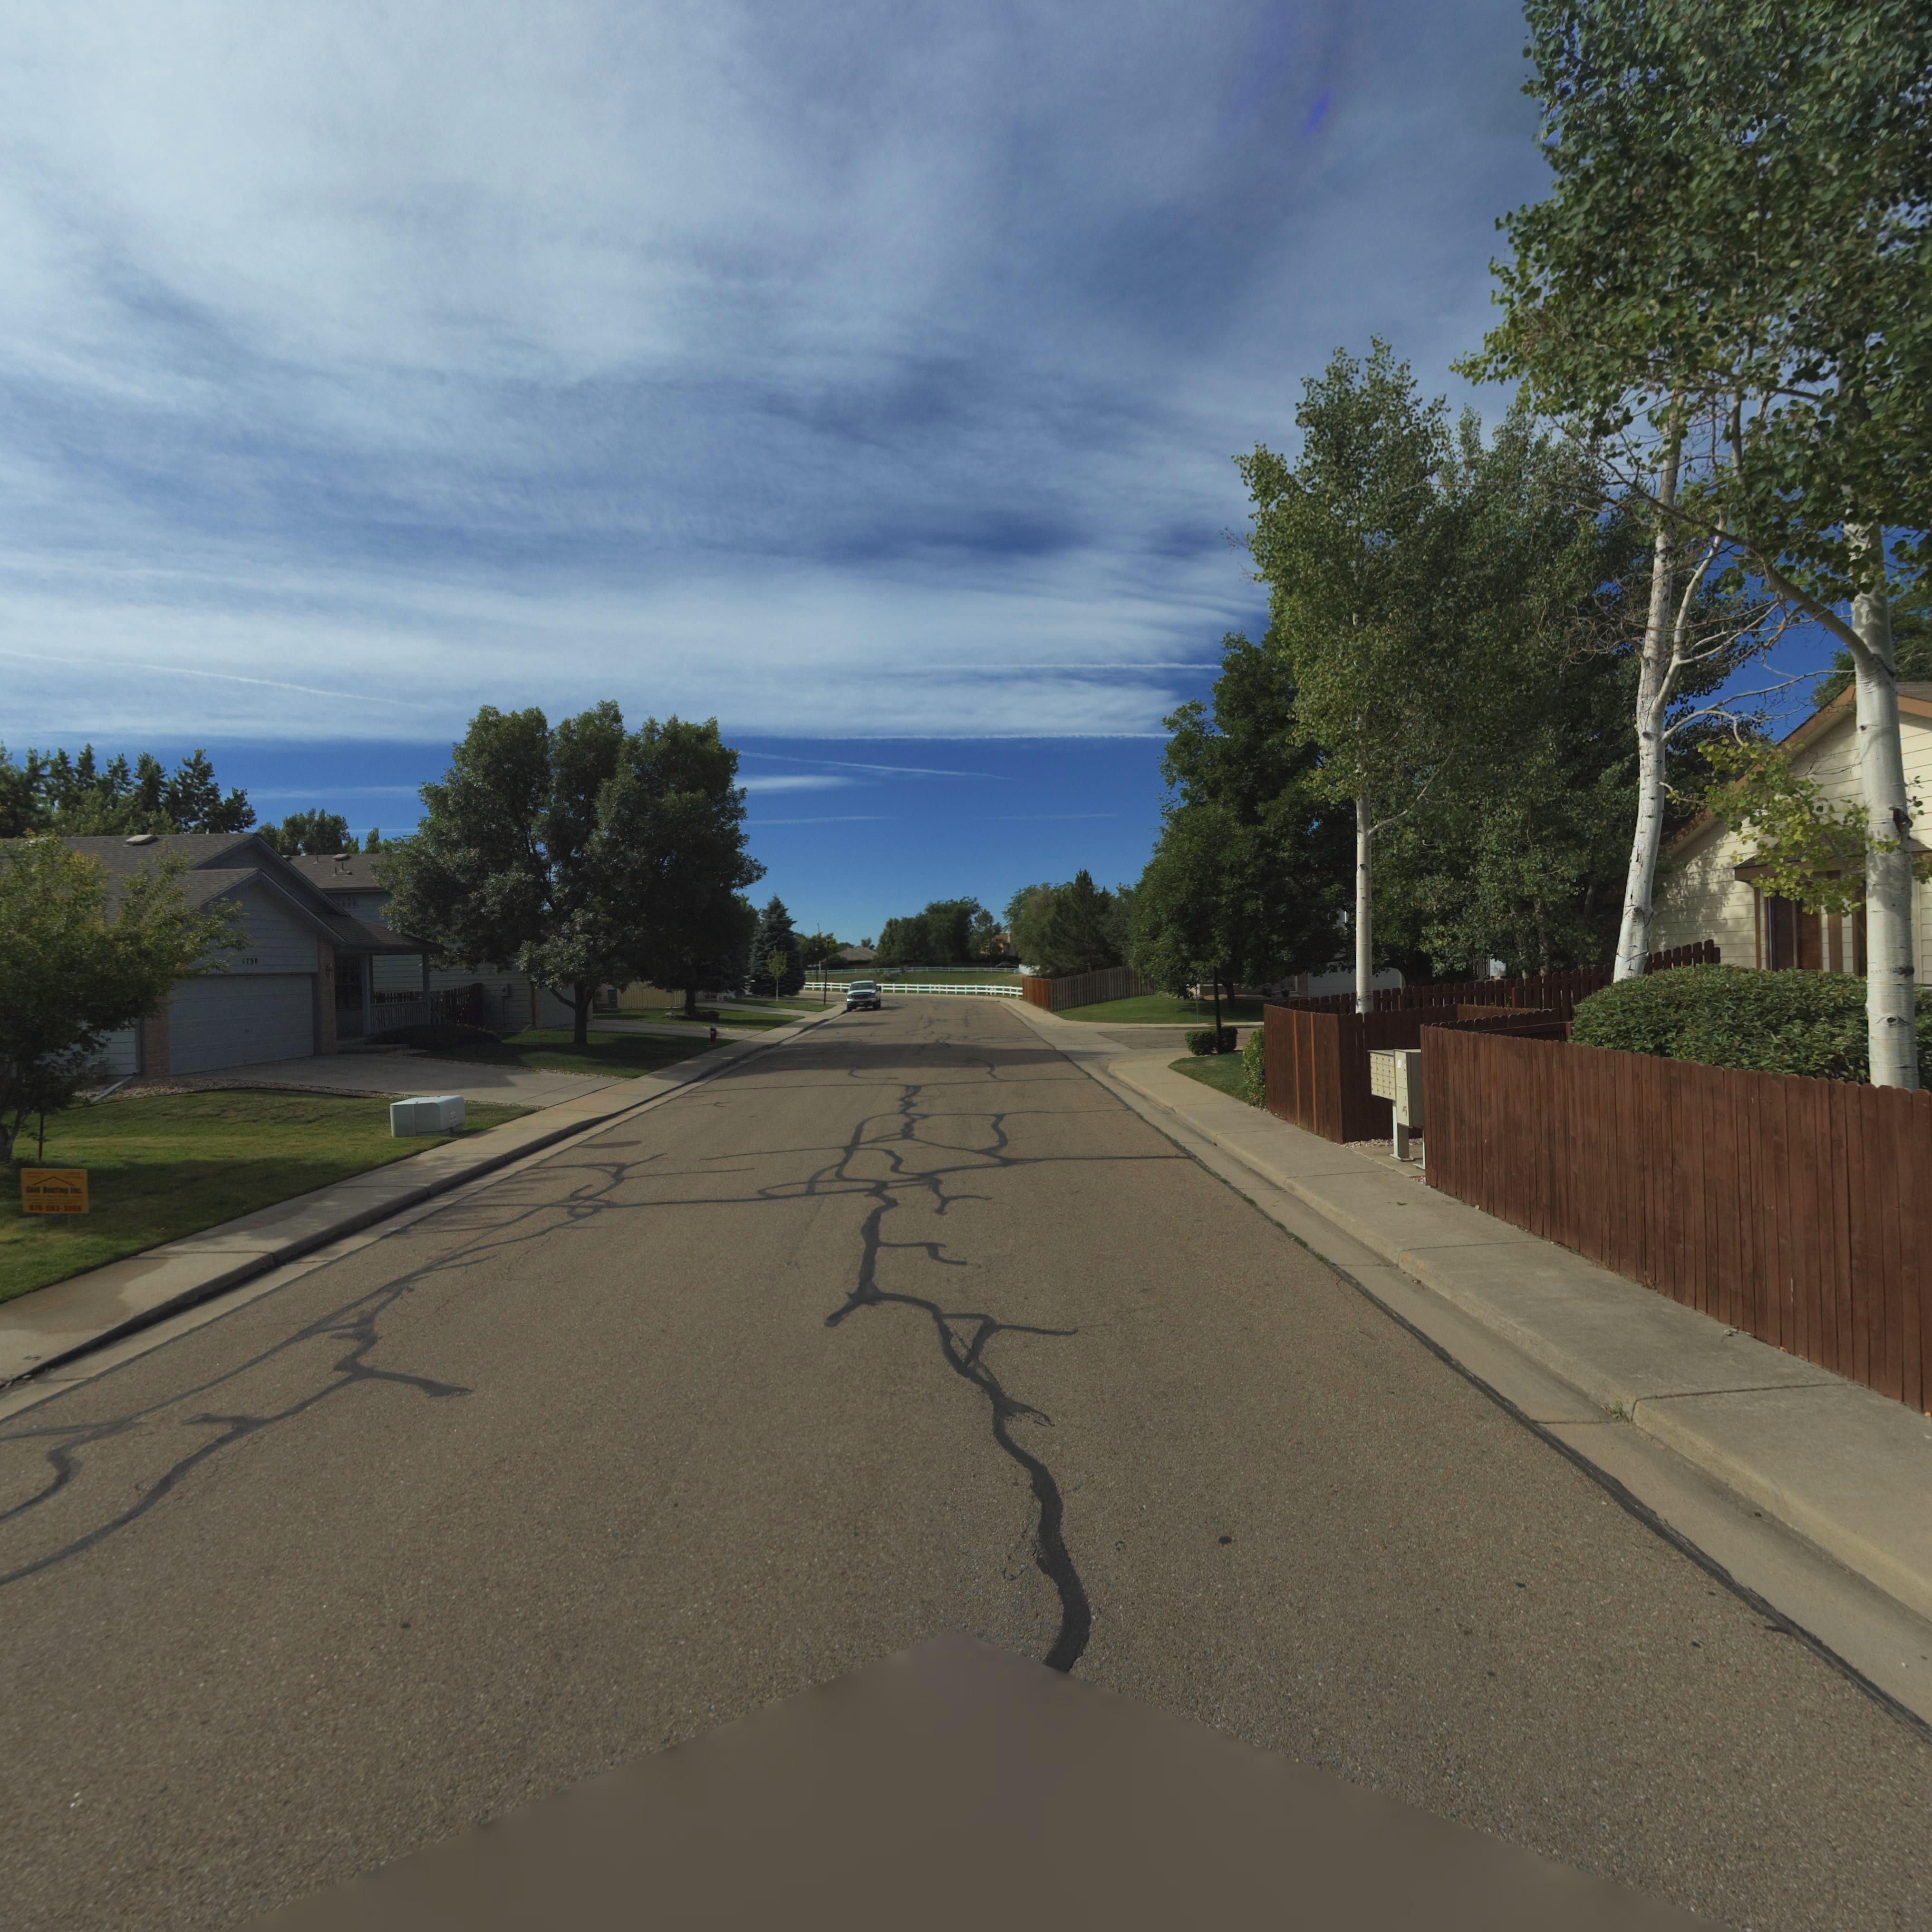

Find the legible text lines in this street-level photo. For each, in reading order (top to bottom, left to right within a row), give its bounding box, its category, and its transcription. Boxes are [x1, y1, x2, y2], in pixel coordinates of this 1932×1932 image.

[242, 957, 258, 964] StreetNumber: 1738